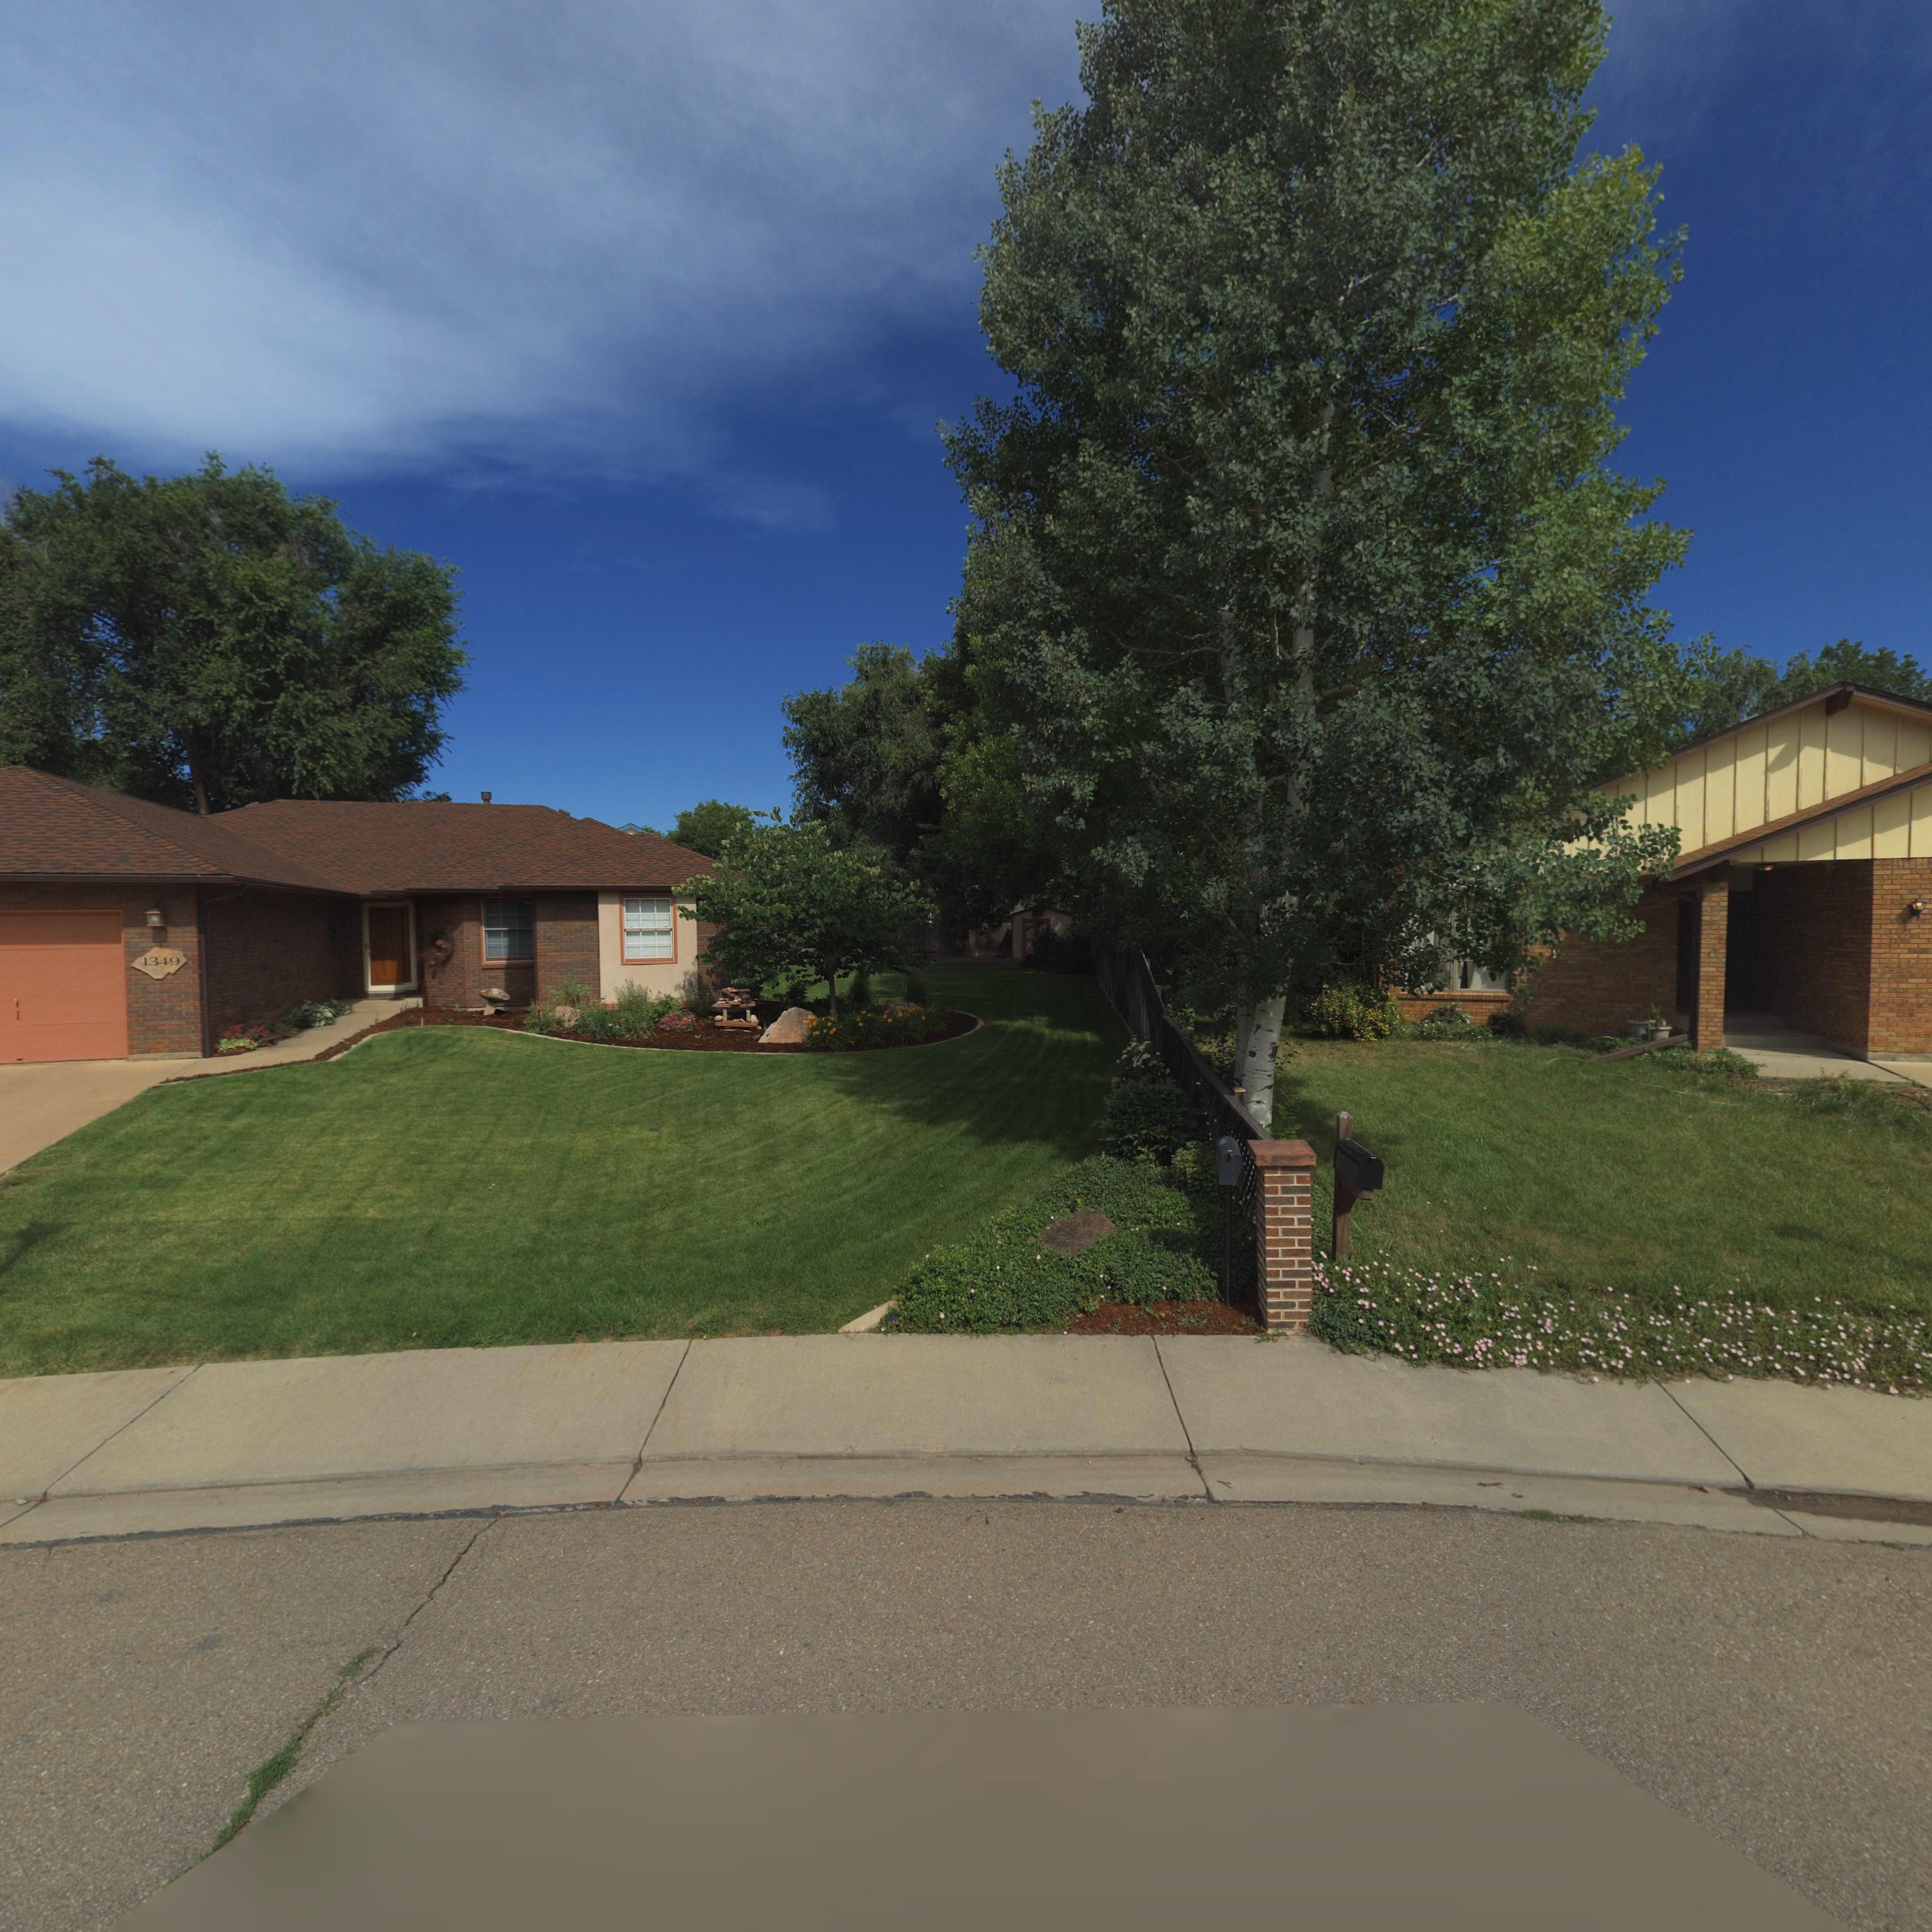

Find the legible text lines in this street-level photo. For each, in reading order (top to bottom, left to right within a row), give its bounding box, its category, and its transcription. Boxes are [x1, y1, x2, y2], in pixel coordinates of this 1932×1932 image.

[143, 956, 180, 966] StreetNumber: 1349